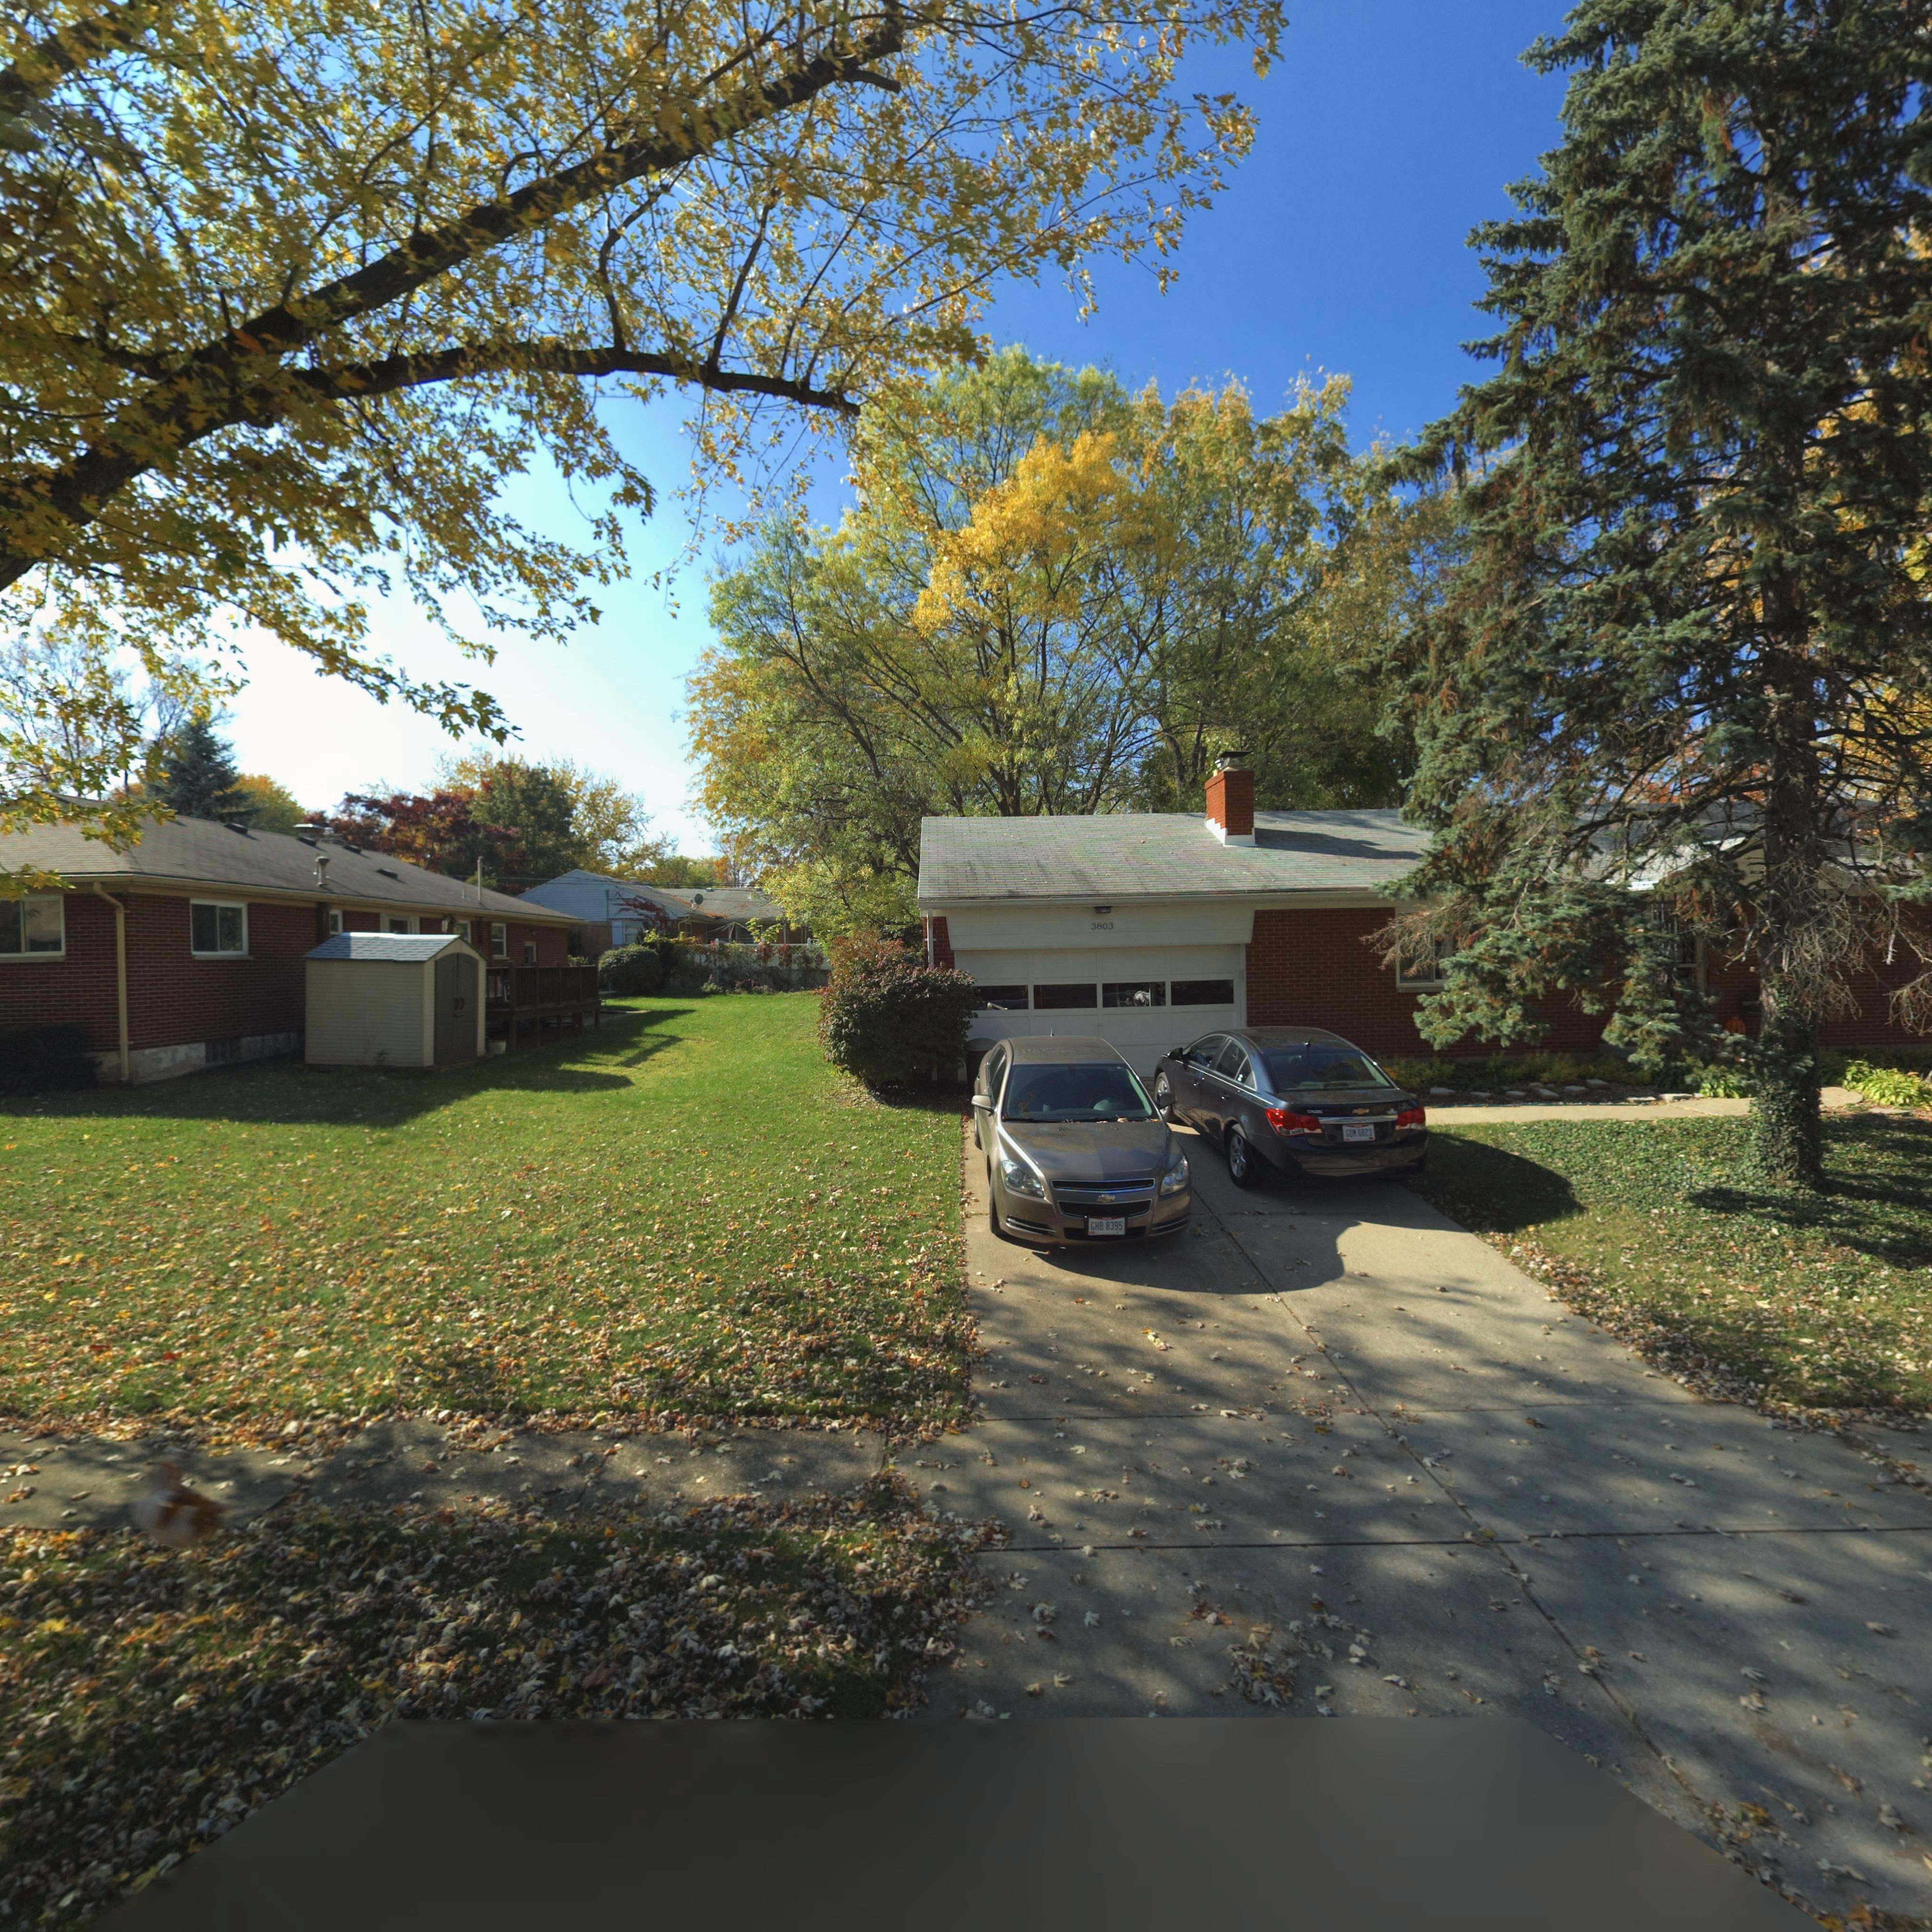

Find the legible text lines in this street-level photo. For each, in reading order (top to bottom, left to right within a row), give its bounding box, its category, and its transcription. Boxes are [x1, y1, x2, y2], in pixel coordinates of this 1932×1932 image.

[1090, 922, 1114, 930] StreetNumber: 3803
[1401, 1104, 1407, 1110] None: LT
[1306, 1109, 1323, 1114] None: CRUZE
[1345, 1128, 1372, 1138] None: GDM 6823
[1090, 1220, 1123, 1231] None: GHB 8395